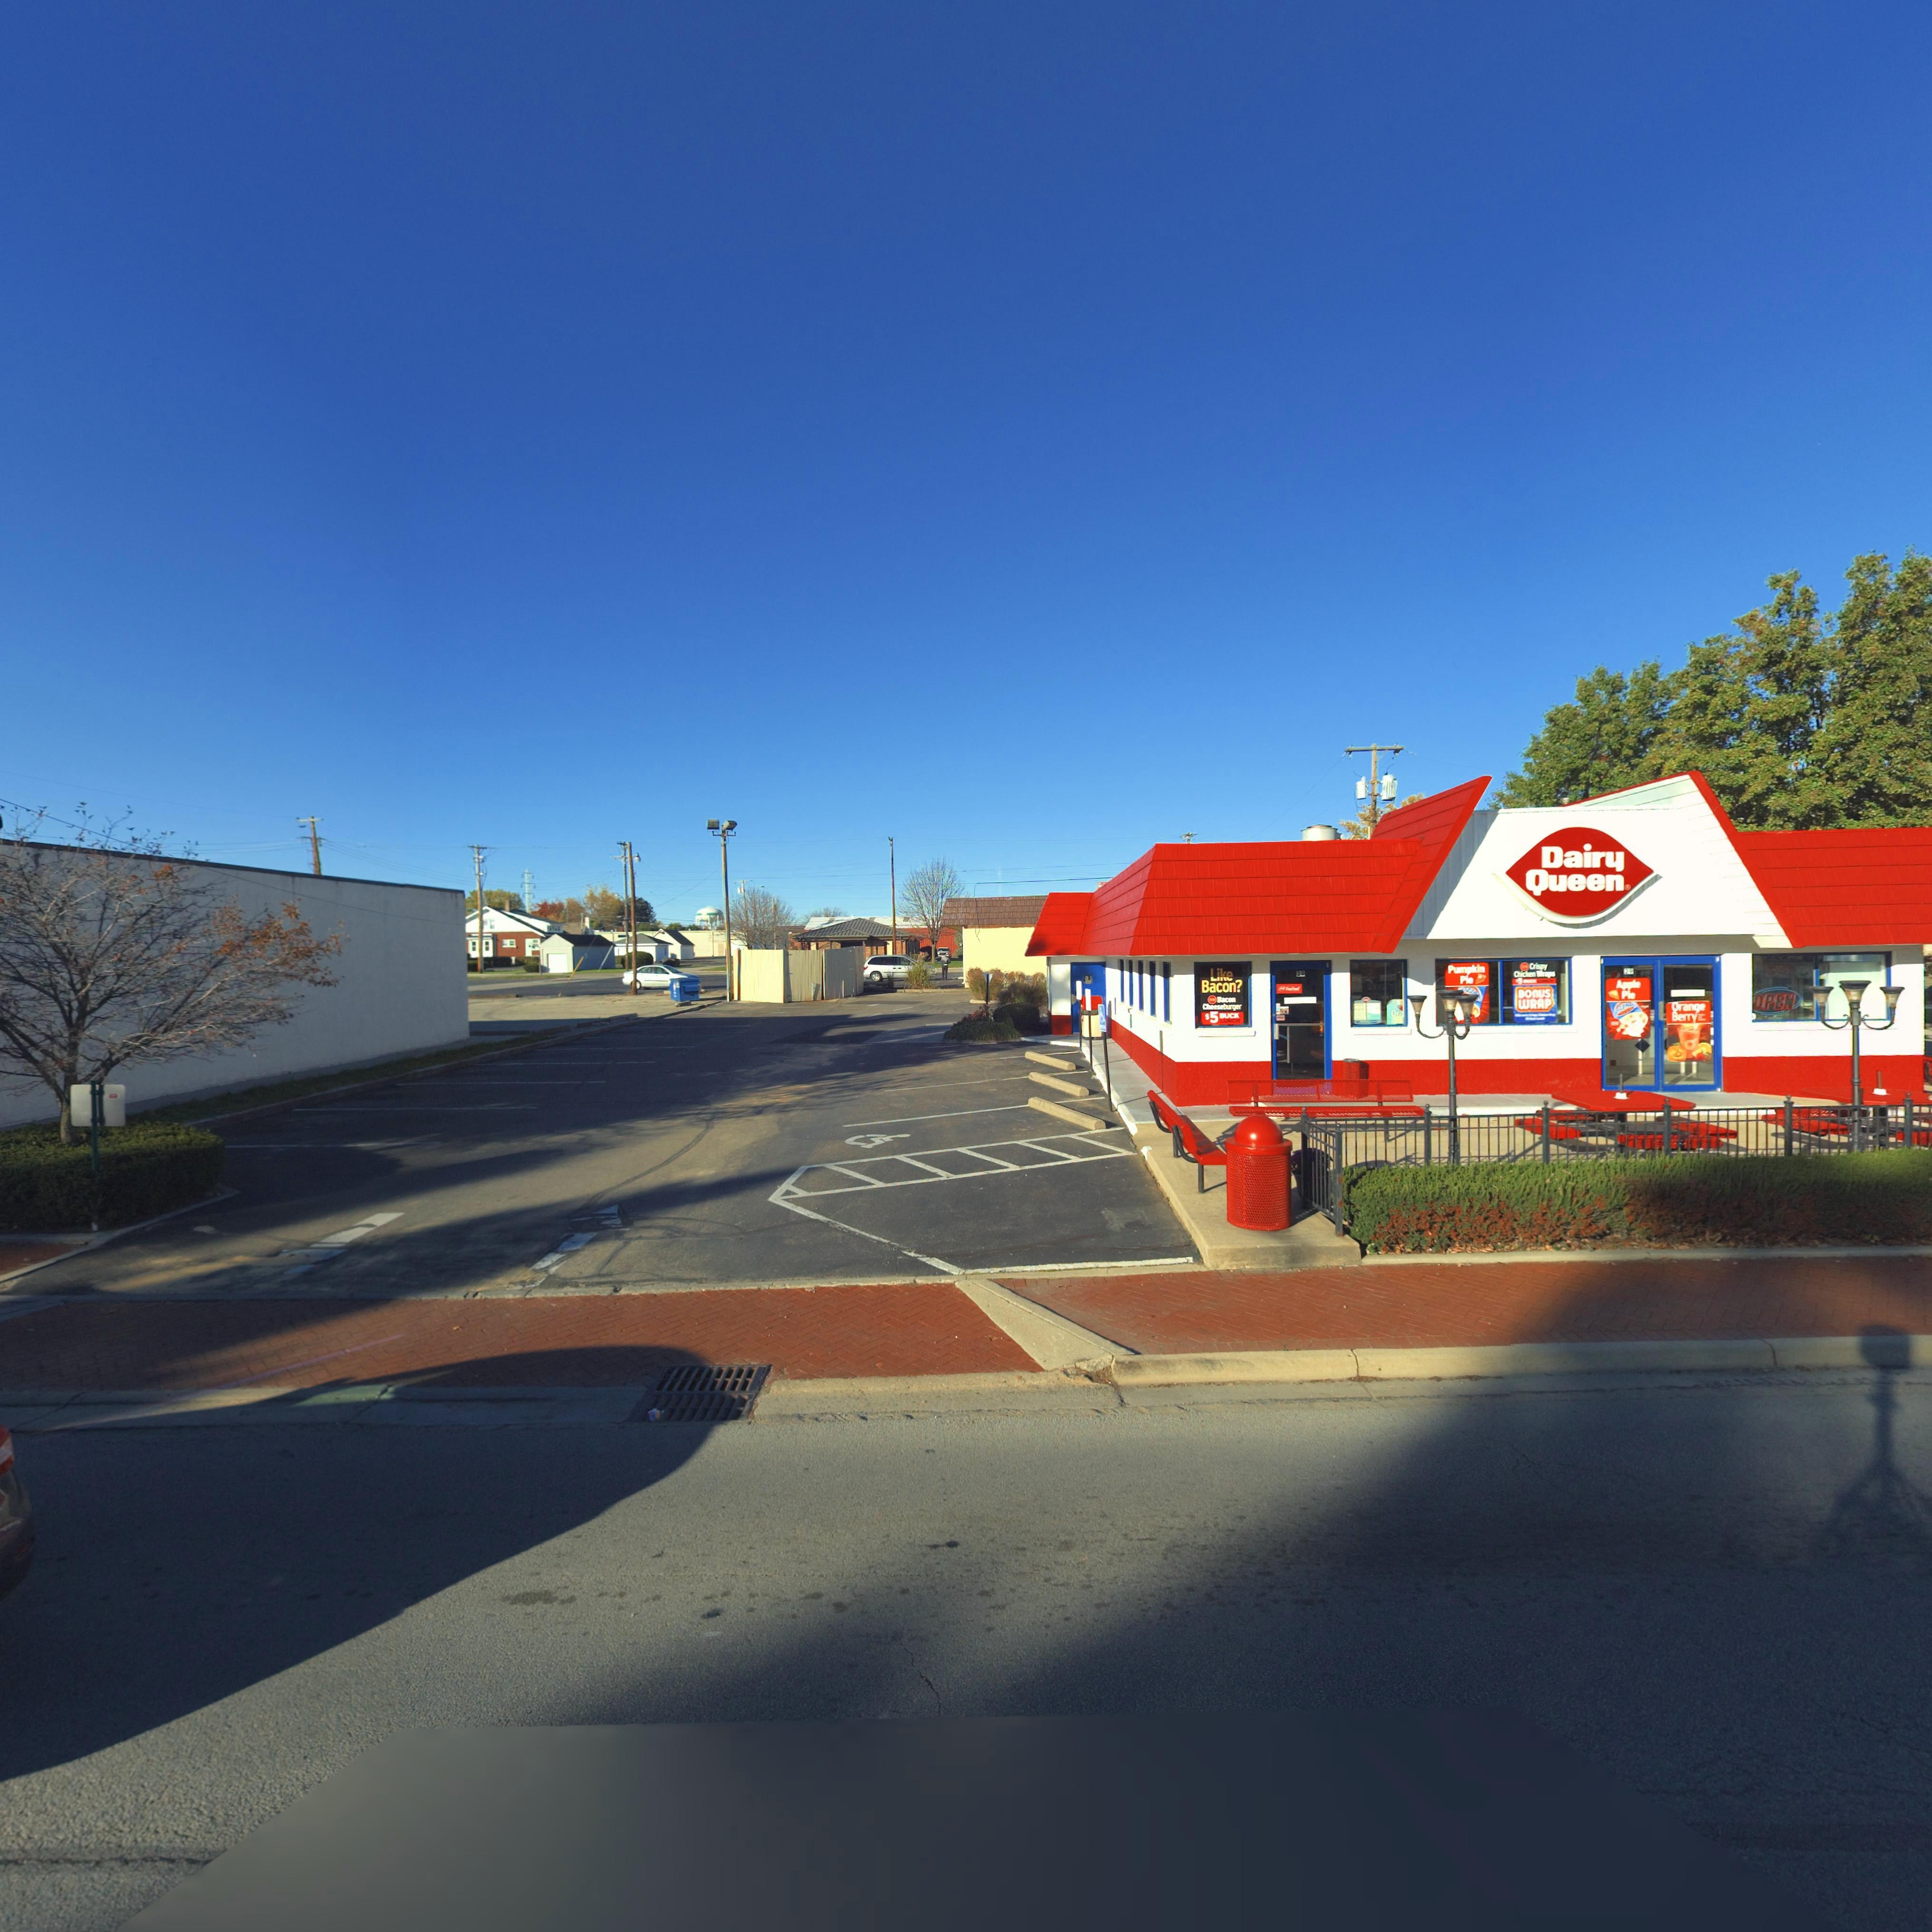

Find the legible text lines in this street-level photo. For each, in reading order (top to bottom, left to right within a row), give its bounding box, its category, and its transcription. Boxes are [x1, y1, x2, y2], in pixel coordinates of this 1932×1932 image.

[1538, 841, 1626, 873] None: Dairy
[1521, 866, 1627, 898] None: Queen
[1208, 966, 1234, 982] None: Like
[1200, 977, 1243, 994] None: Bacon?
[1296, 971, 1305, 977] StreetNumber: 29
[1446, 964, 1485, 974] None: Pumpkin
[1459, 974, 1473, 984] None: Pie
[1516, 977, 1522, 983] None: 5
[1513, 969, 1556, 978] None: Chicken Wings
[1528, 960, 1548, 971] None: Crispy
[1616, 978, 1640, 991] None: Apple
[1623, 968, 1633, 975] StreetNumber: 29
[1201, 1002, 1242, 1011] None: Cheeseburger
[1216, 995, 1236, 1003] None: Bacon
[1517, 988, 1552, 998] None: BONUS
[1517, 996, 1553, 1010] None: WRAP
[1621, 988, 1636, 1000] None: Pie
[1670, 1000, 1706, 1013] None: Orange
[1753, 990, 1797, 1012] None: OPEN
[1208, 1010, 1219, 1023] None: 5
[1218, 1012, 1240, 1018] None: BUCK
[1671, 1010, 1697, 1024] None: Berry